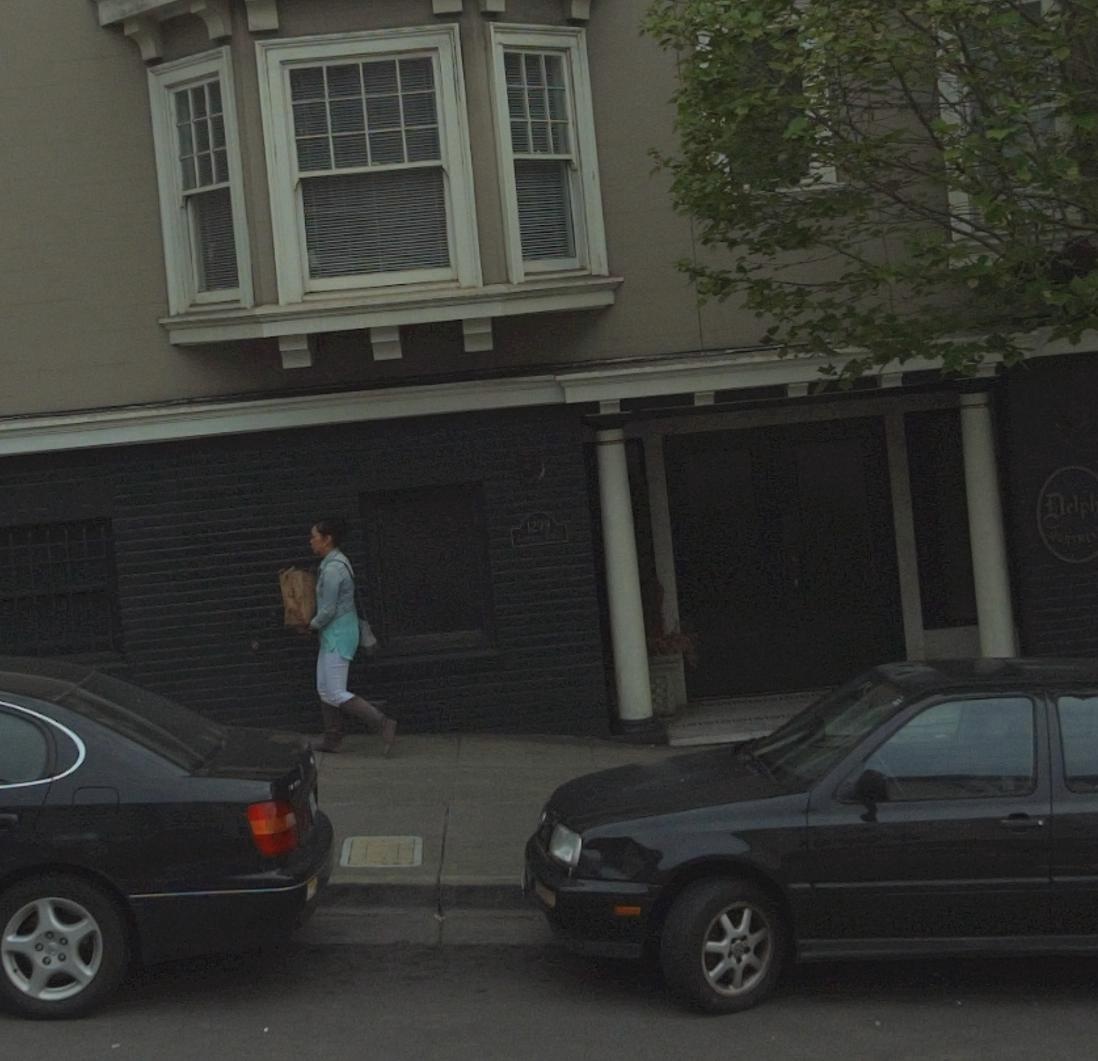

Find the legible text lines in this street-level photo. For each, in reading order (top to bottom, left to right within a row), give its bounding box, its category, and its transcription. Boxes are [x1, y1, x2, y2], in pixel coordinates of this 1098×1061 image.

[1043, 492, 1091, 521] BusinessName: Delp
[525, 518, 553, 535] StreetNumber: 1299